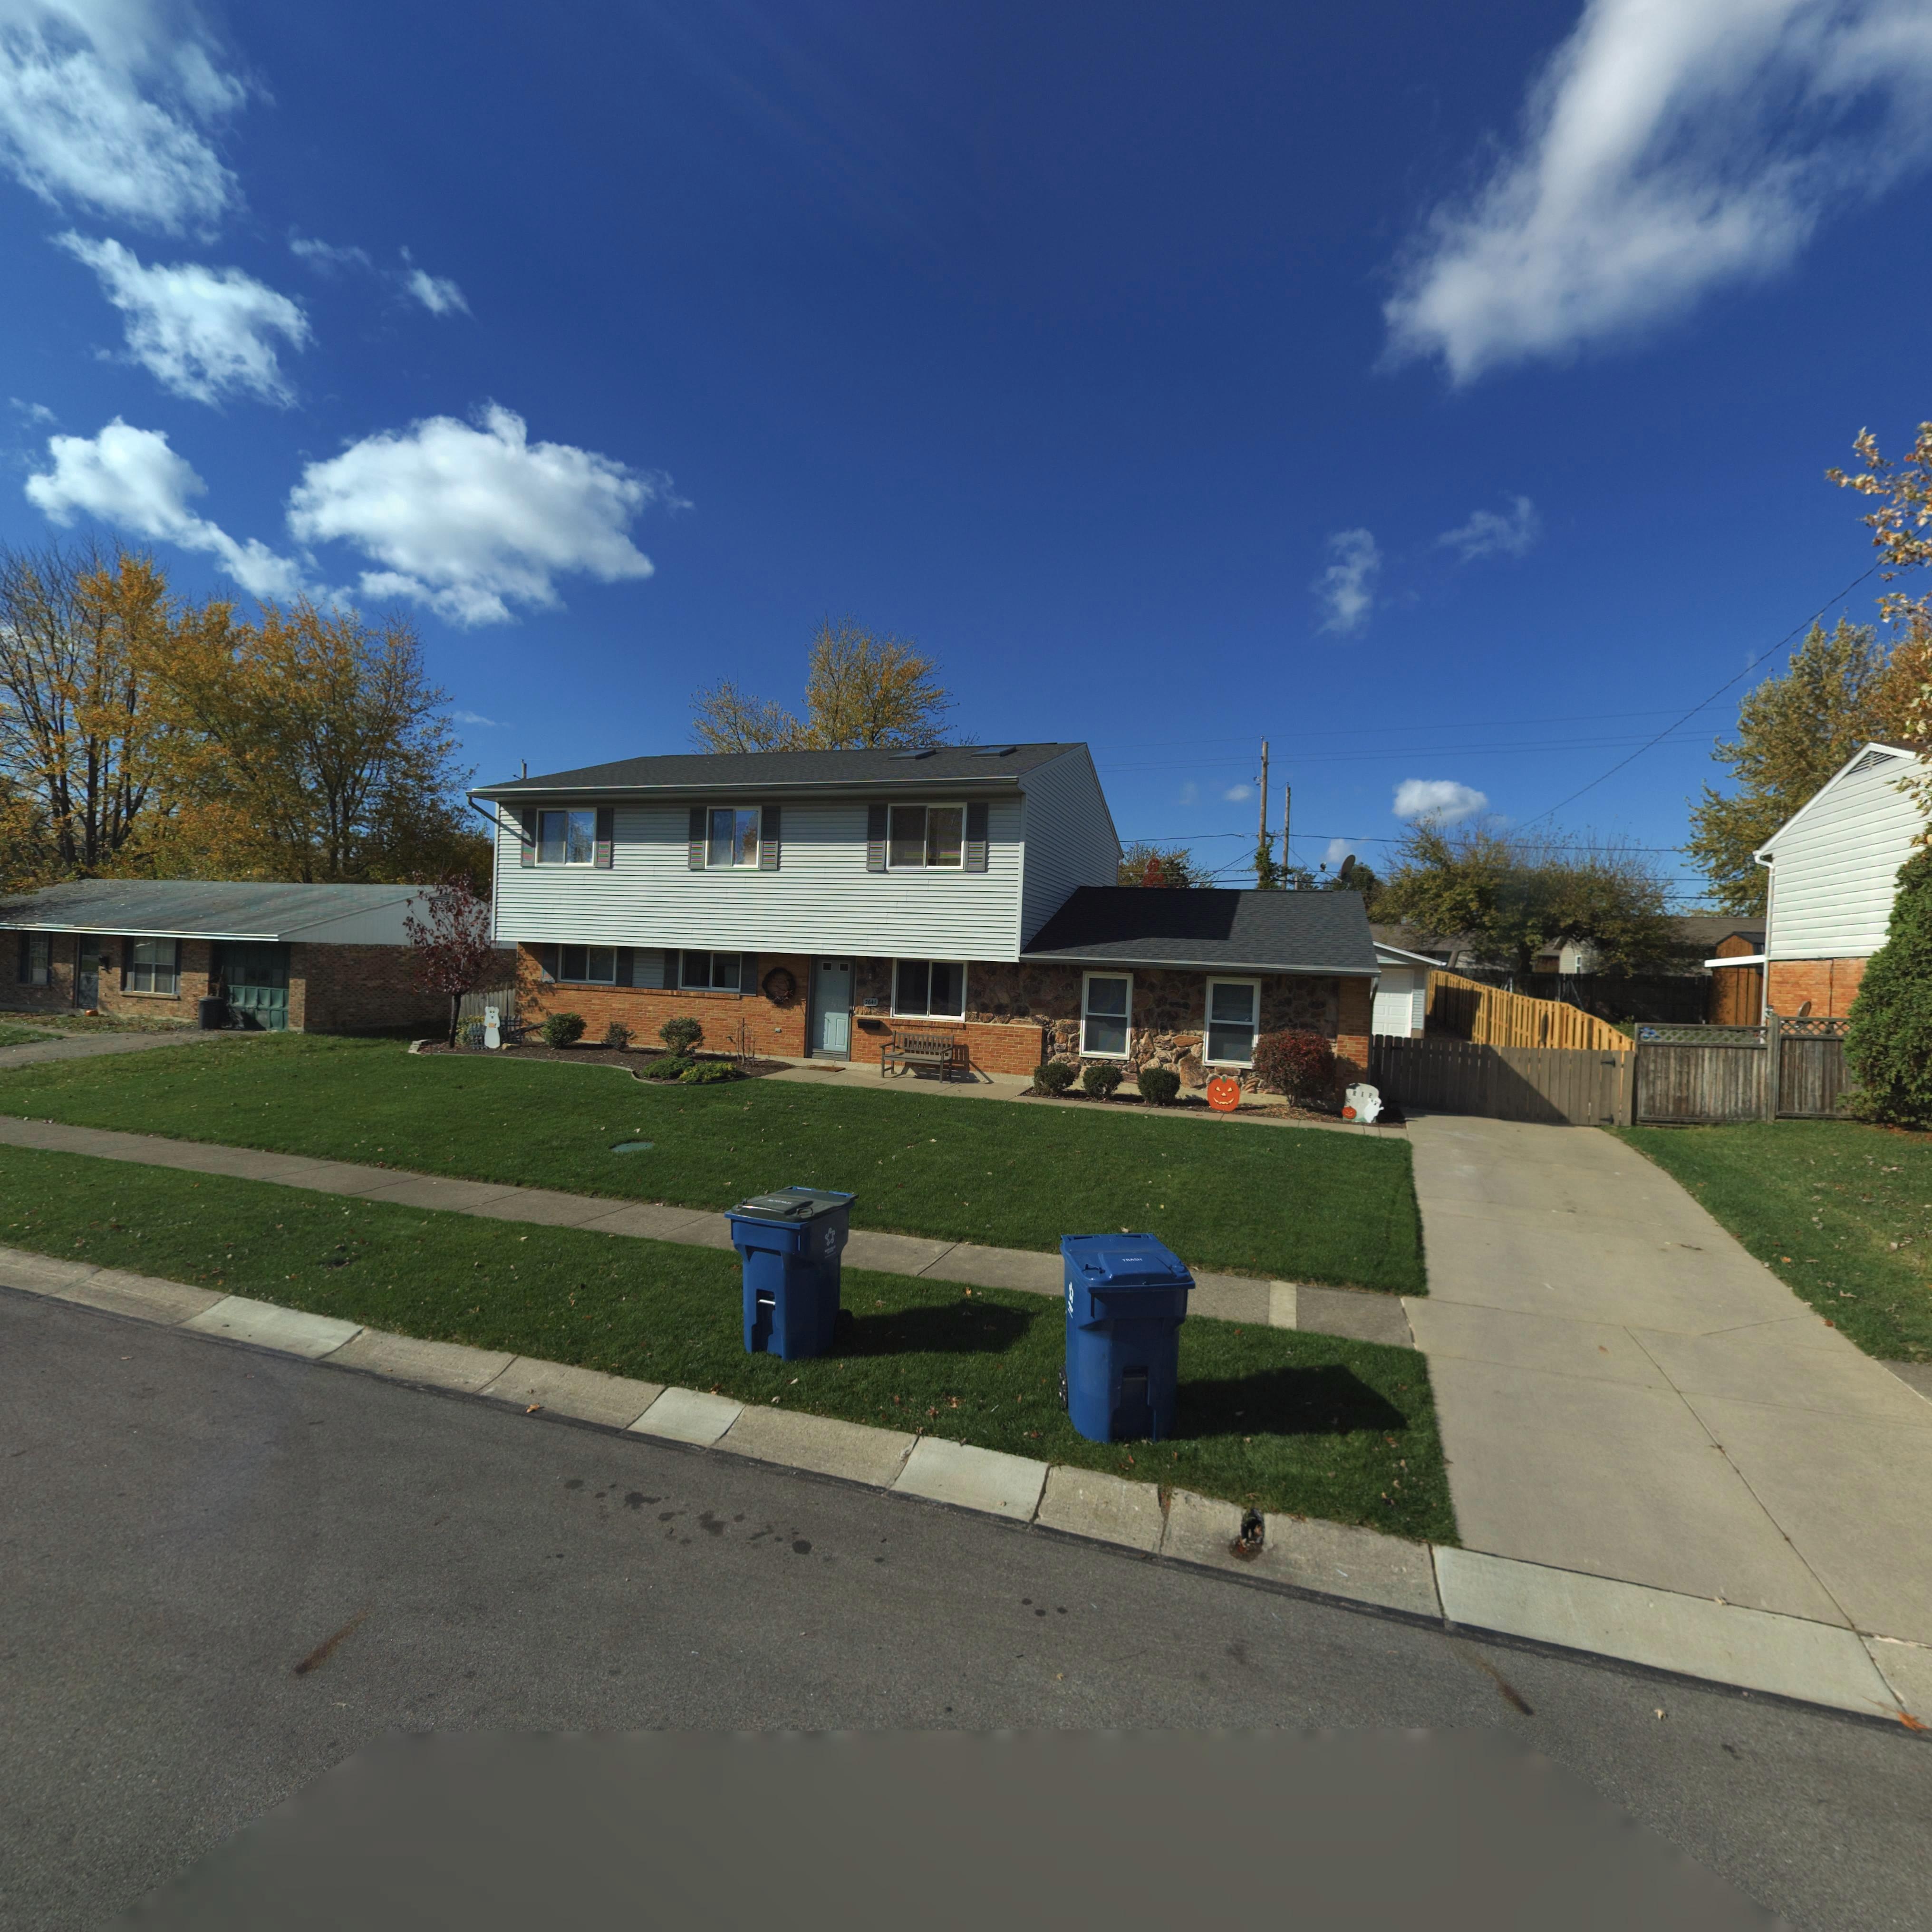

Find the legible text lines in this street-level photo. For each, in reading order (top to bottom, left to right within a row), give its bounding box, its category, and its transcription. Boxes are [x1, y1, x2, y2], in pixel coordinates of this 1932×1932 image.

[864, 998, 877, 1005] StreetNumber: 7641